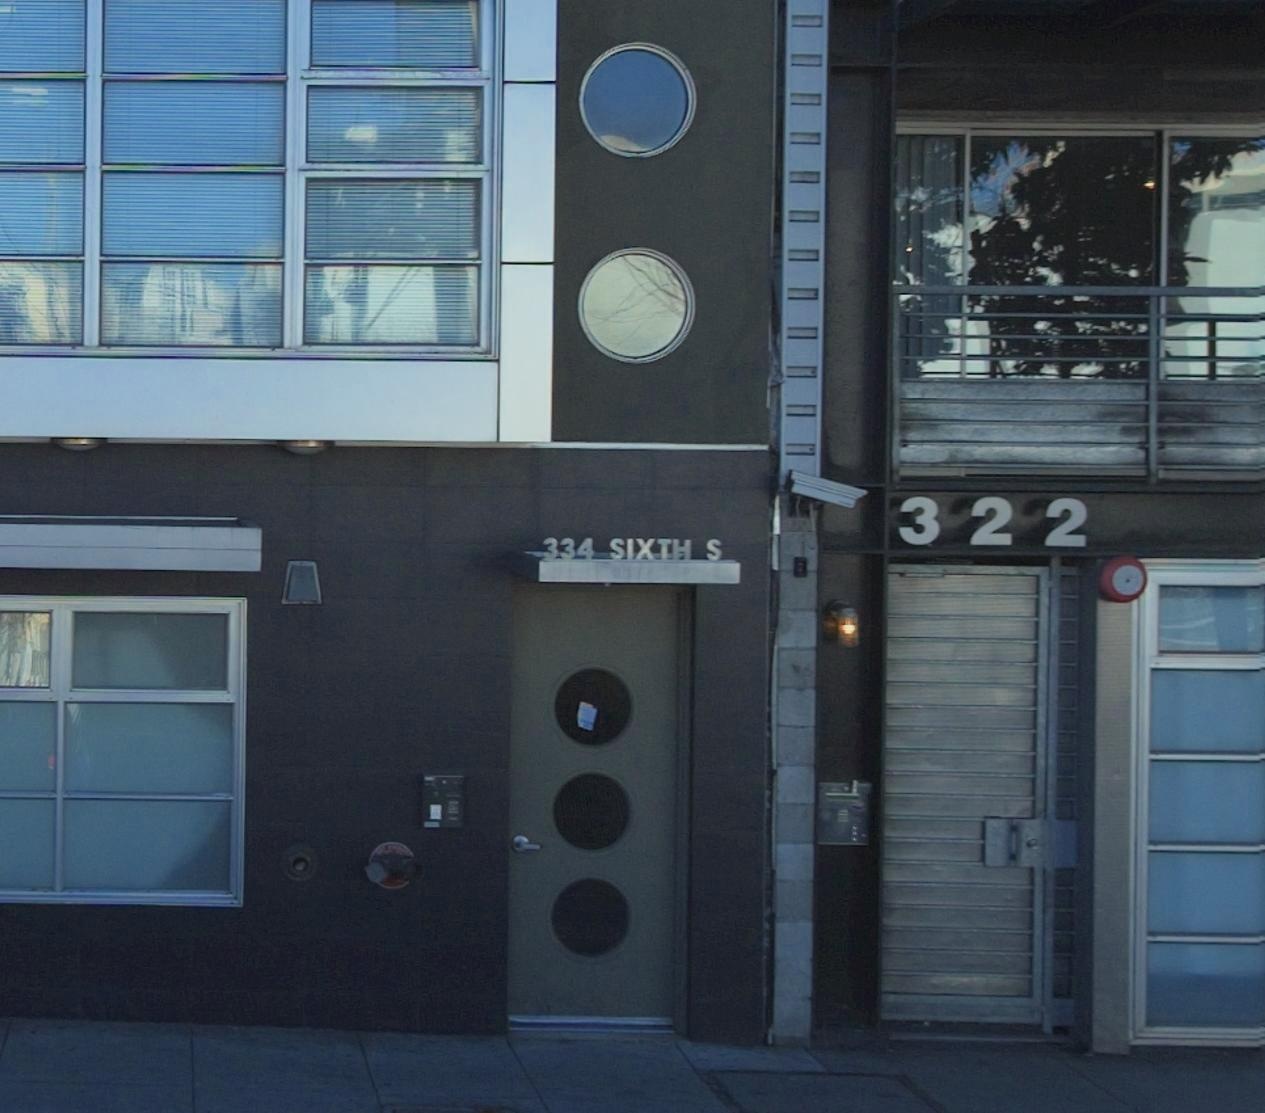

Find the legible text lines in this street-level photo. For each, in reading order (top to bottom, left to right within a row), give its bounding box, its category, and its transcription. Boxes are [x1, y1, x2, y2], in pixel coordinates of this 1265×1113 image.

[895, 494, 1089, 549] StreetNumber: 322
[541, 537, 597, 561] StreetNumber: 334
[609, 536, 722, 561] StreetName: SIXTH S